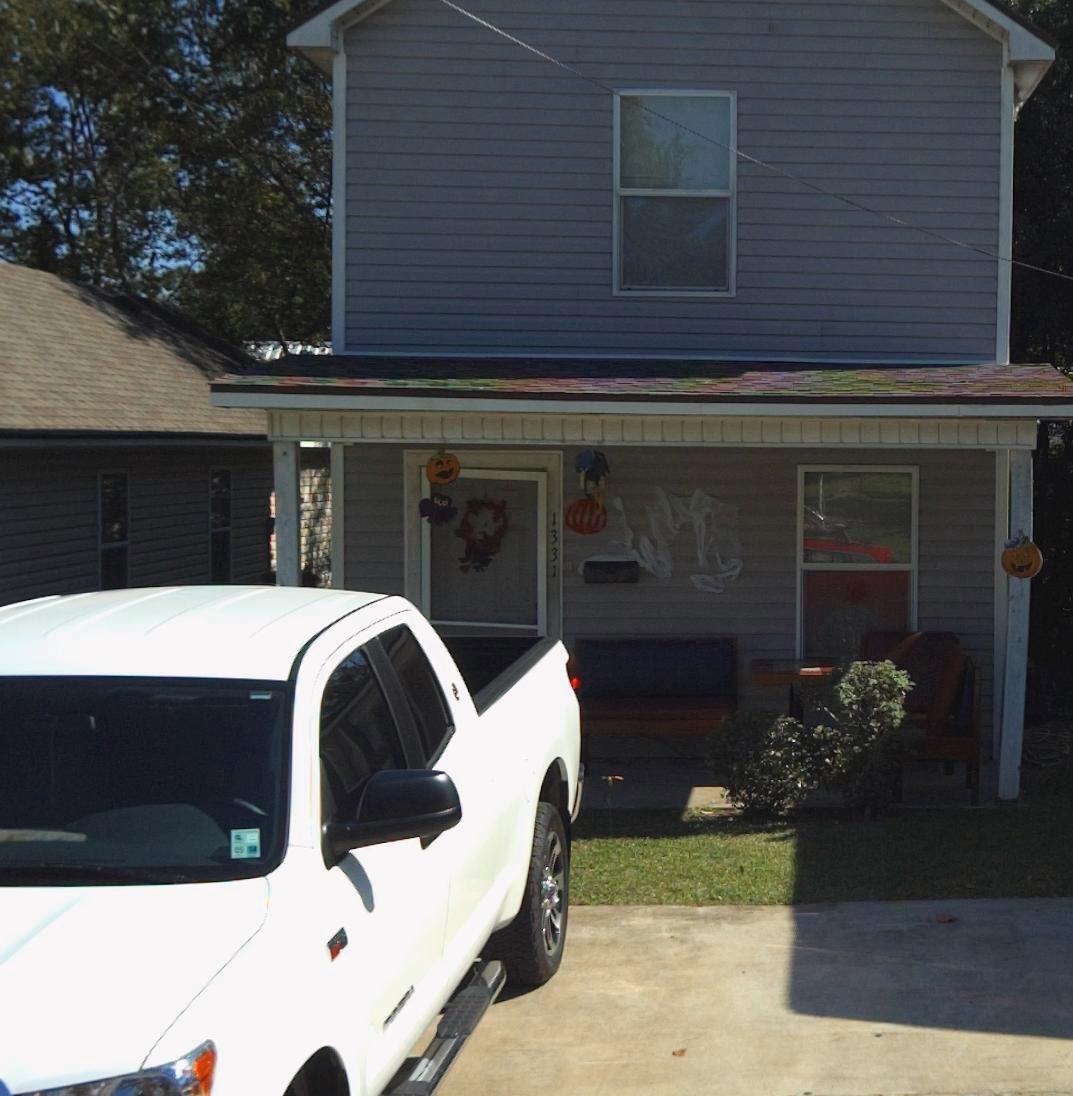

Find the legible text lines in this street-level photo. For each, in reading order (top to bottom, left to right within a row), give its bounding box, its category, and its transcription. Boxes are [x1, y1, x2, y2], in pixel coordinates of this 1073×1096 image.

[548, 510, 560, 580] StreetNumber: 1331